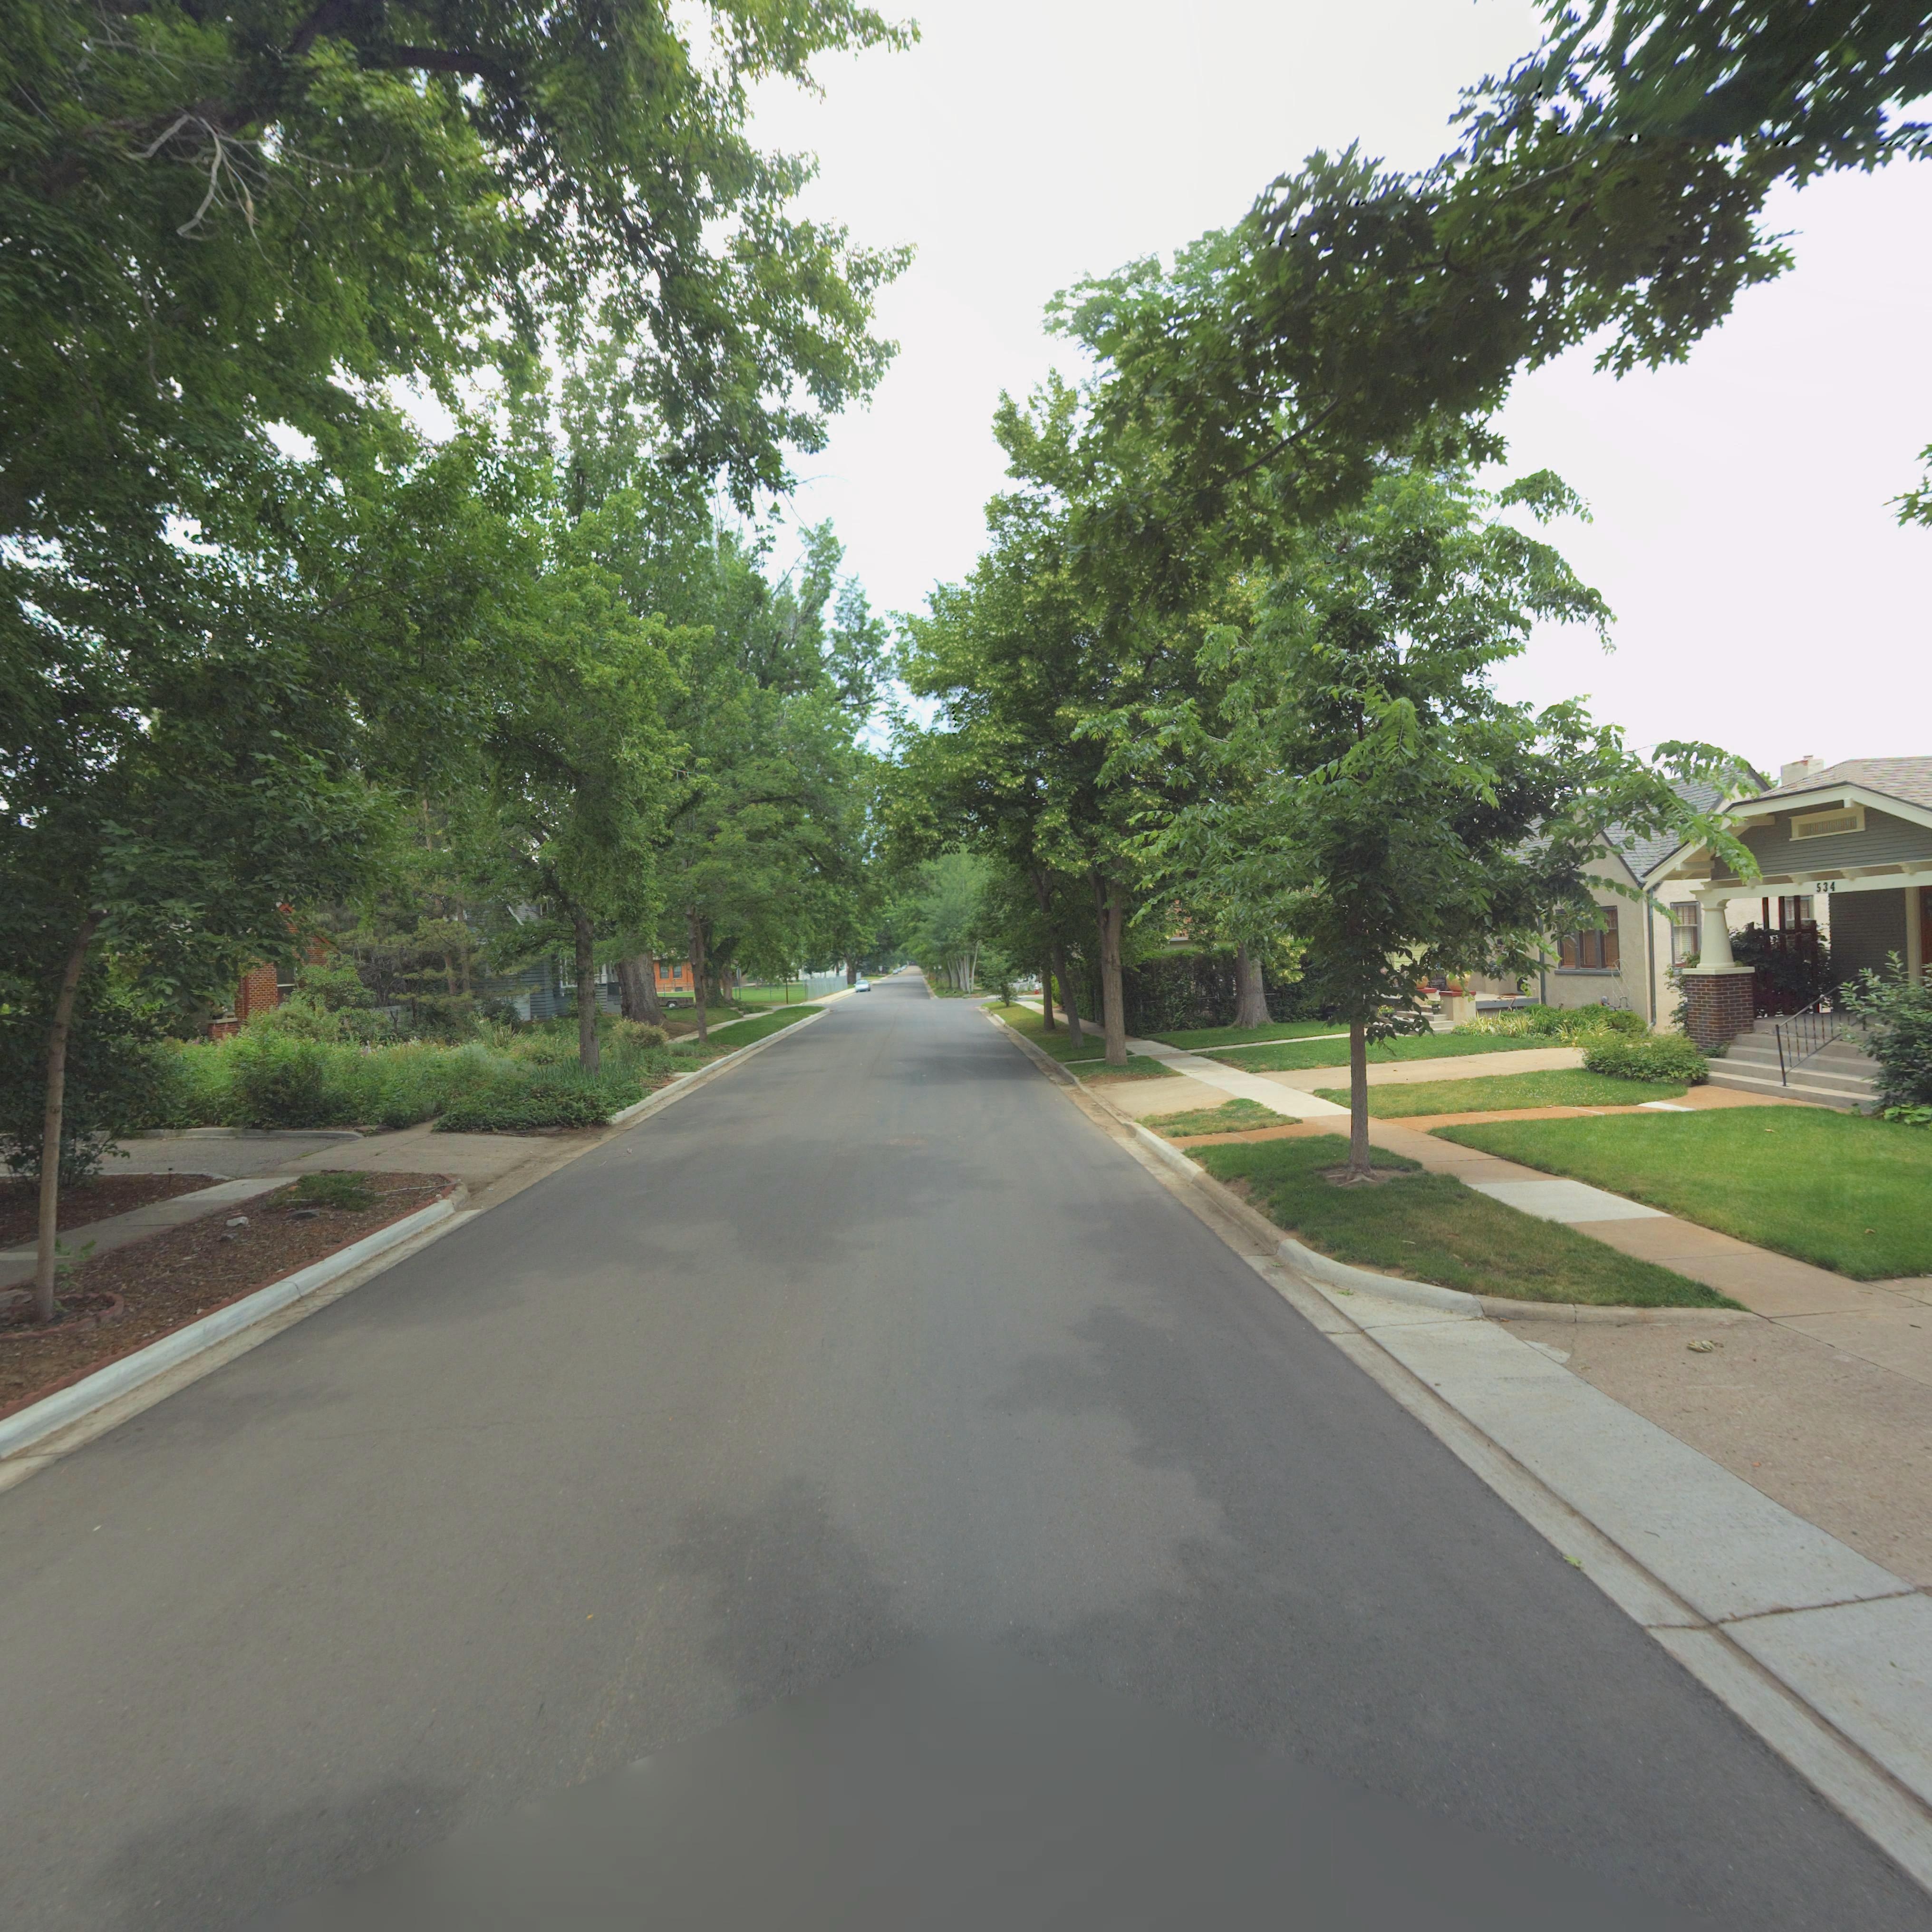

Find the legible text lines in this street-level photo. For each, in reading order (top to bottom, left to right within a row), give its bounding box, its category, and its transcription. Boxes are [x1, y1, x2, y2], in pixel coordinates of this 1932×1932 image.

[1816, 880, 1835, 893] StreetNumber: 534